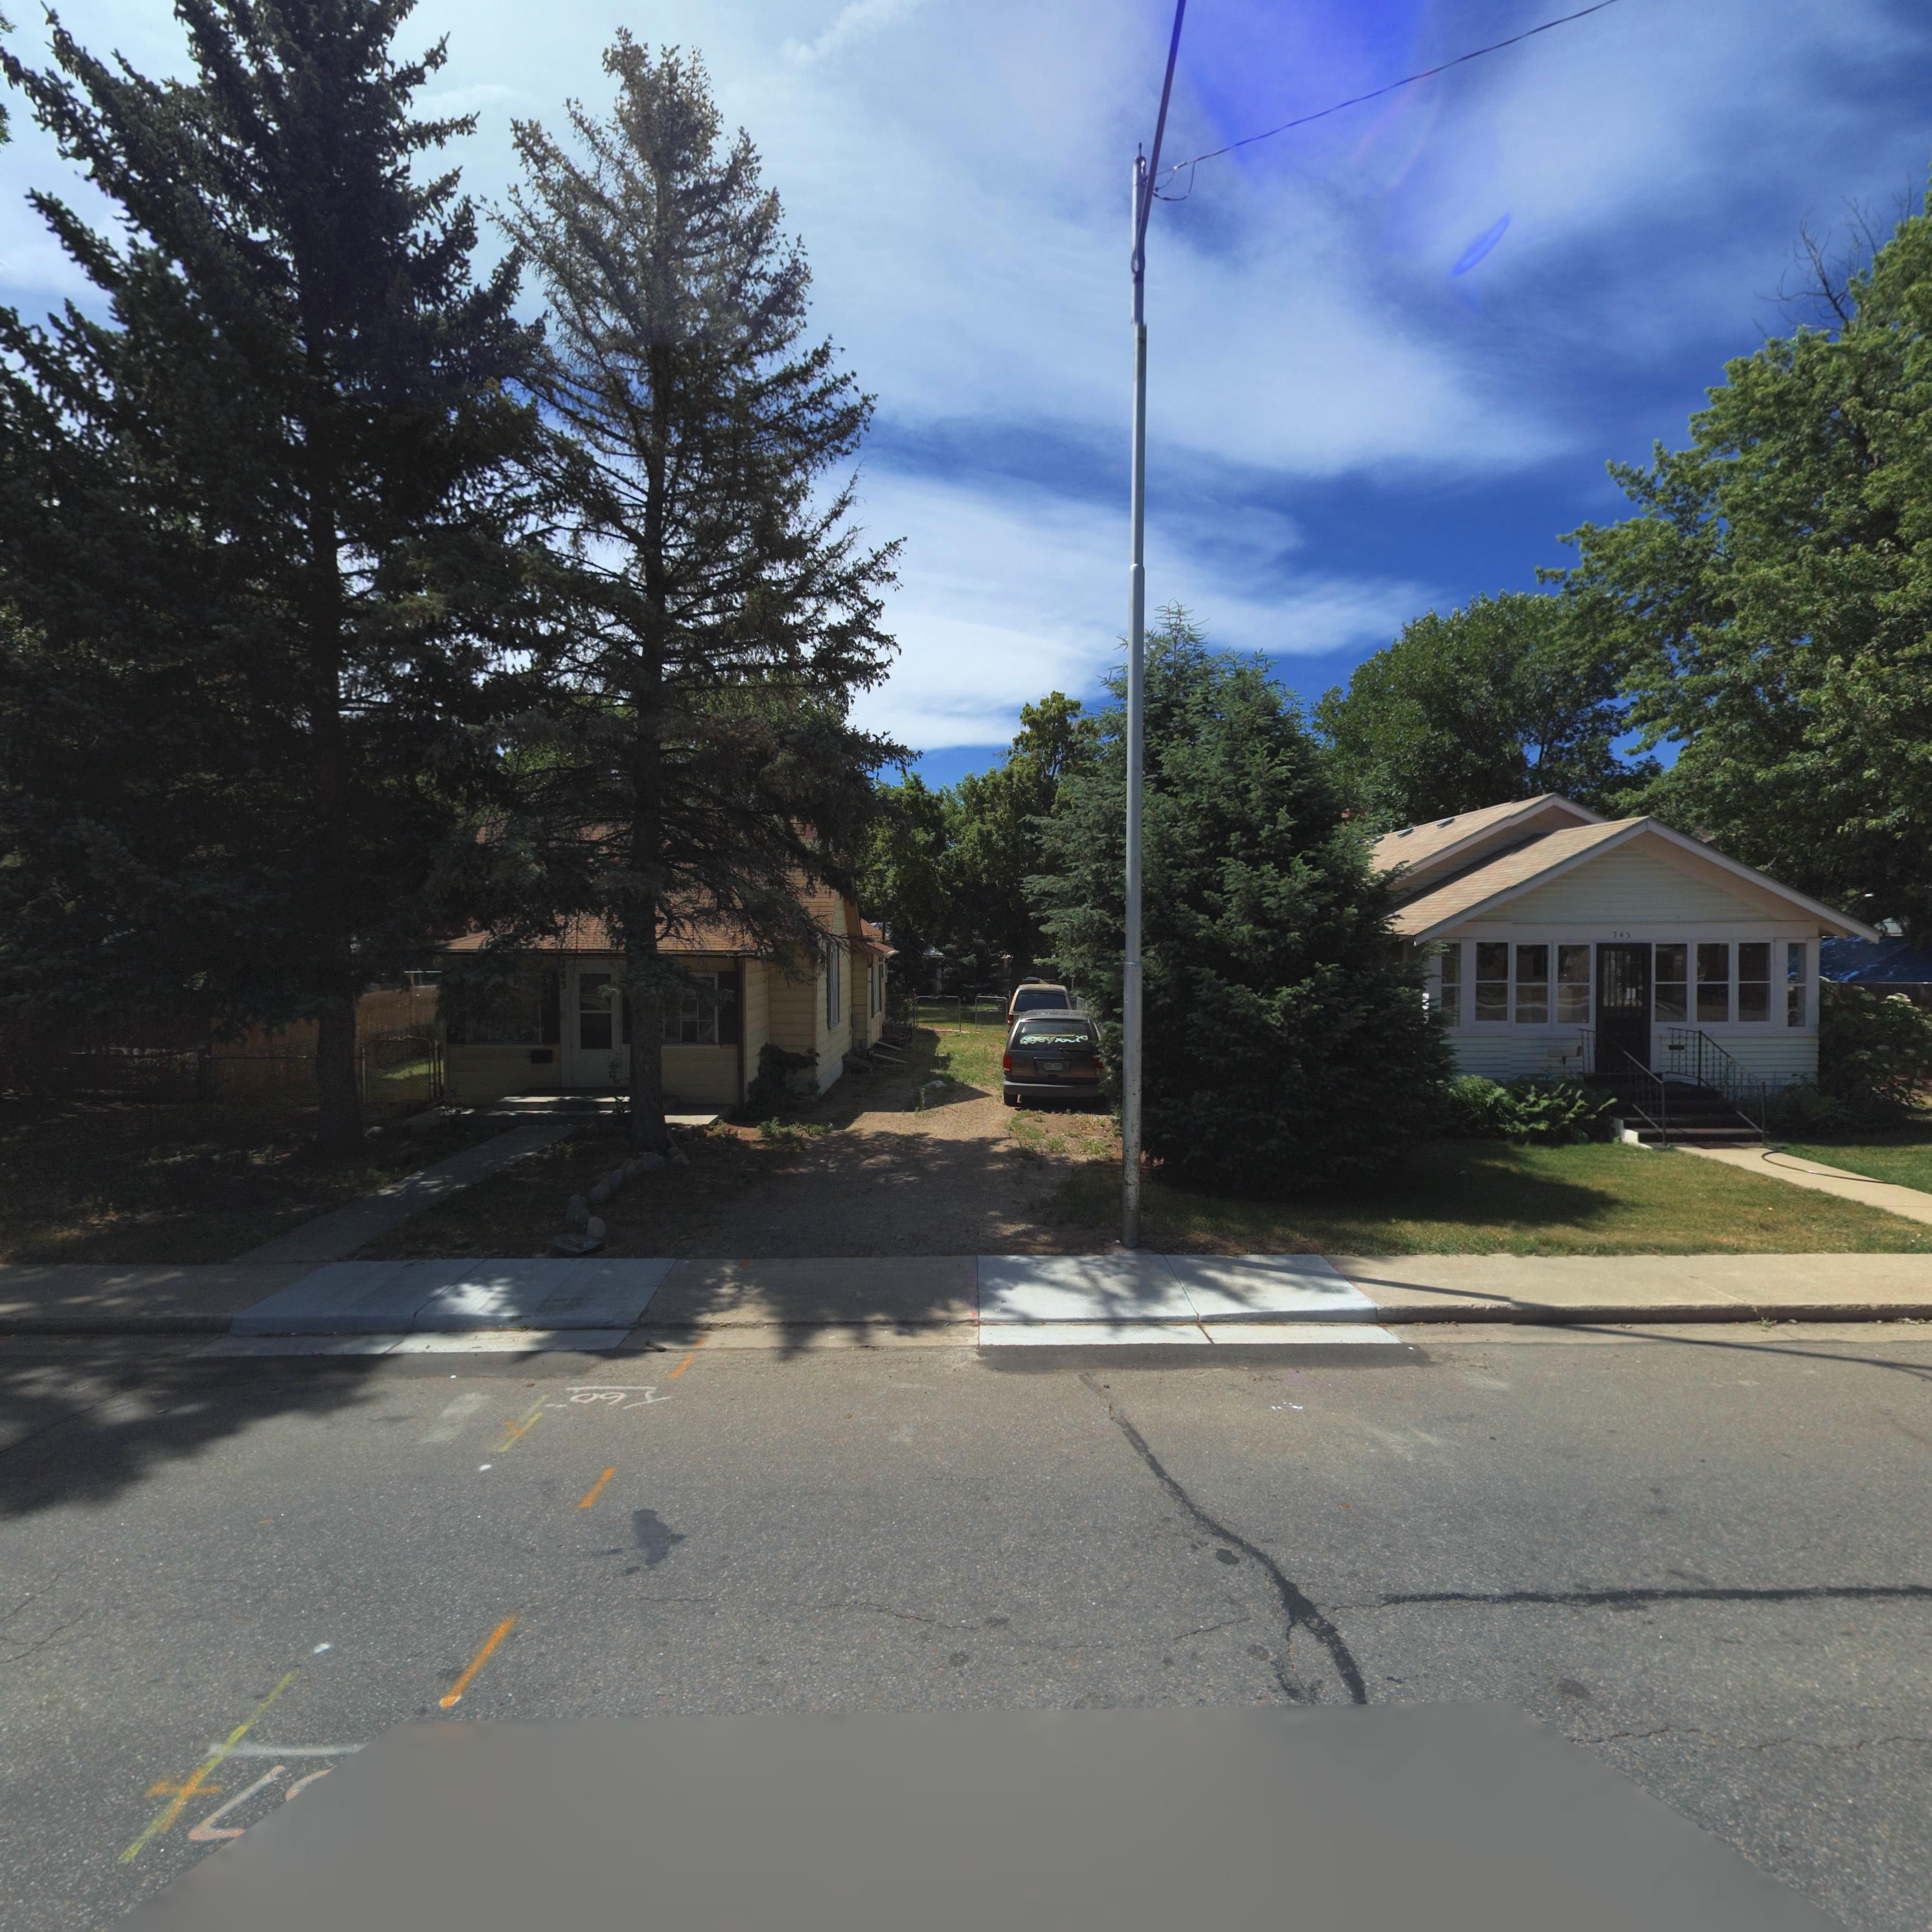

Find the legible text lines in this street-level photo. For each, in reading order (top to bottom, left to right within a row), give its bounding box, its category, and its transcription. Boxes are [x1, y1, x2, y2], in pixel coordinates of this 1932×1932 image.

[1612, 930, 1631, 938] StreetNumber: 745
[559, 958, 567, 991] StreetNumber: 743